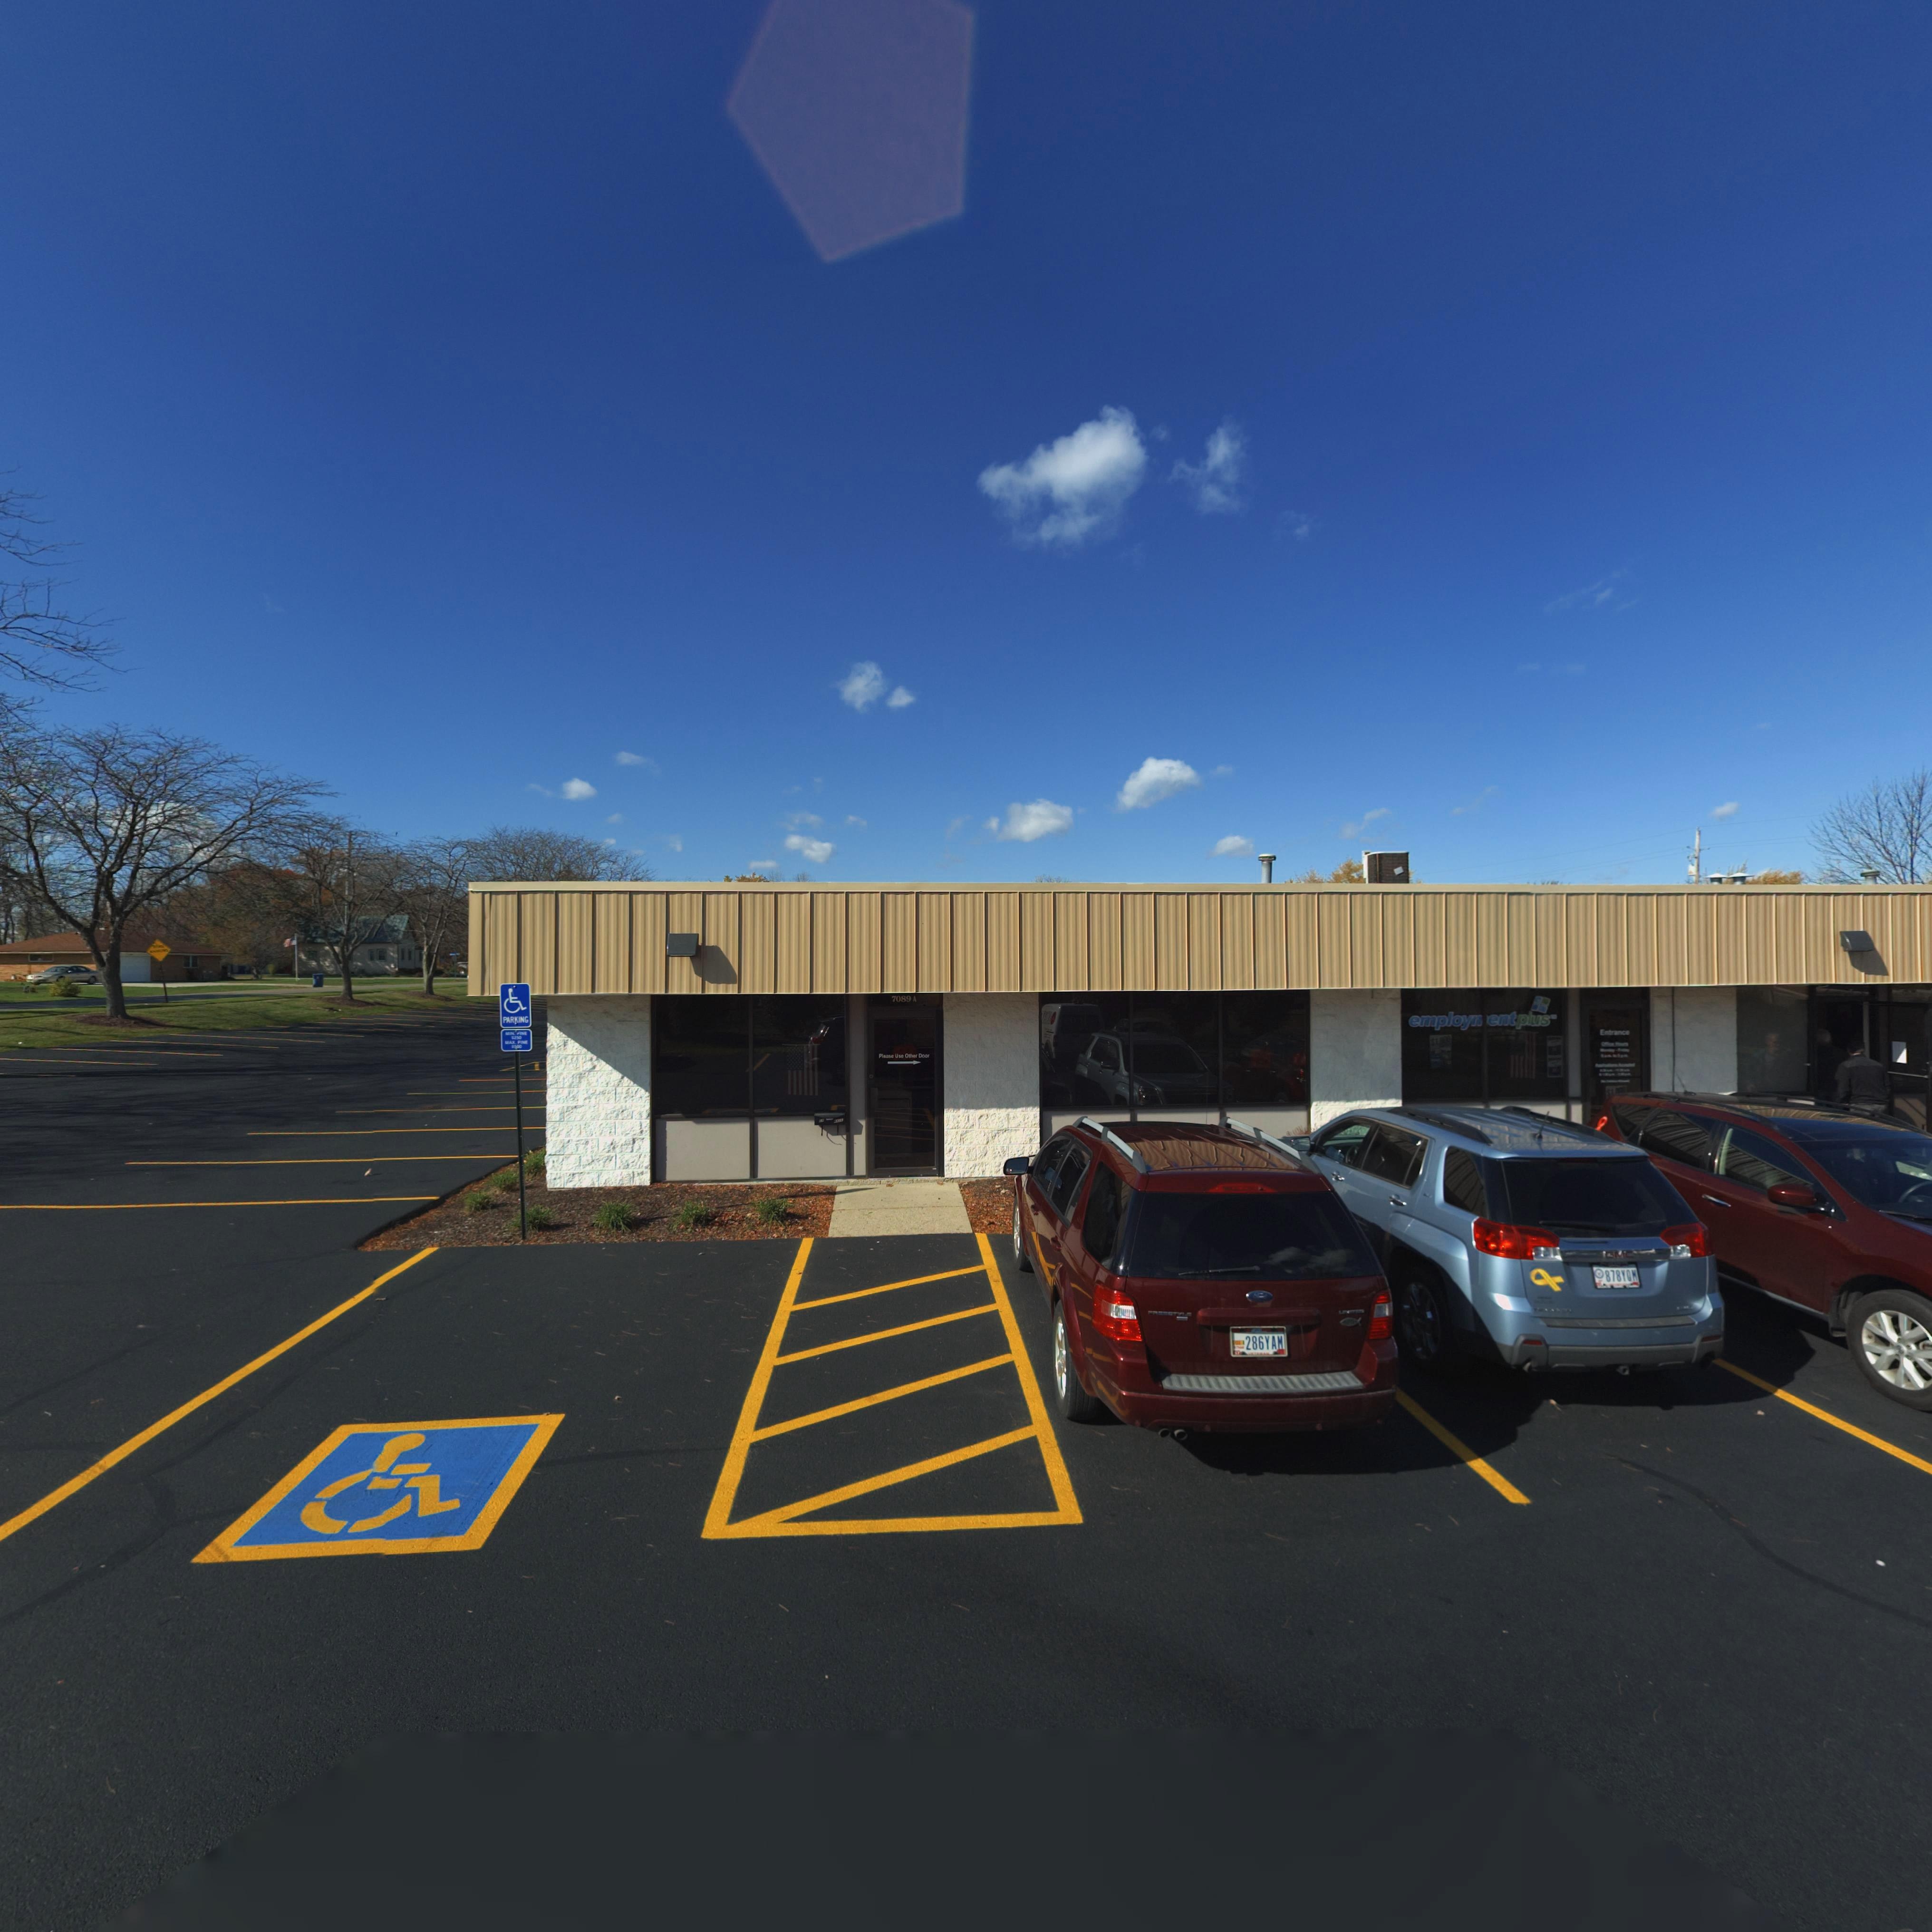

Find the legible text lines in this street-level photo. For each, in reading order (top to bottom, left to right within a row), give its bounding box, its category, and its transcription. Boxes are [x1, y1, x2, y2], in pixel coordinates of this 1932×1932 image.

[890, 994, 918, 1004] StreetNumber: 7089 A